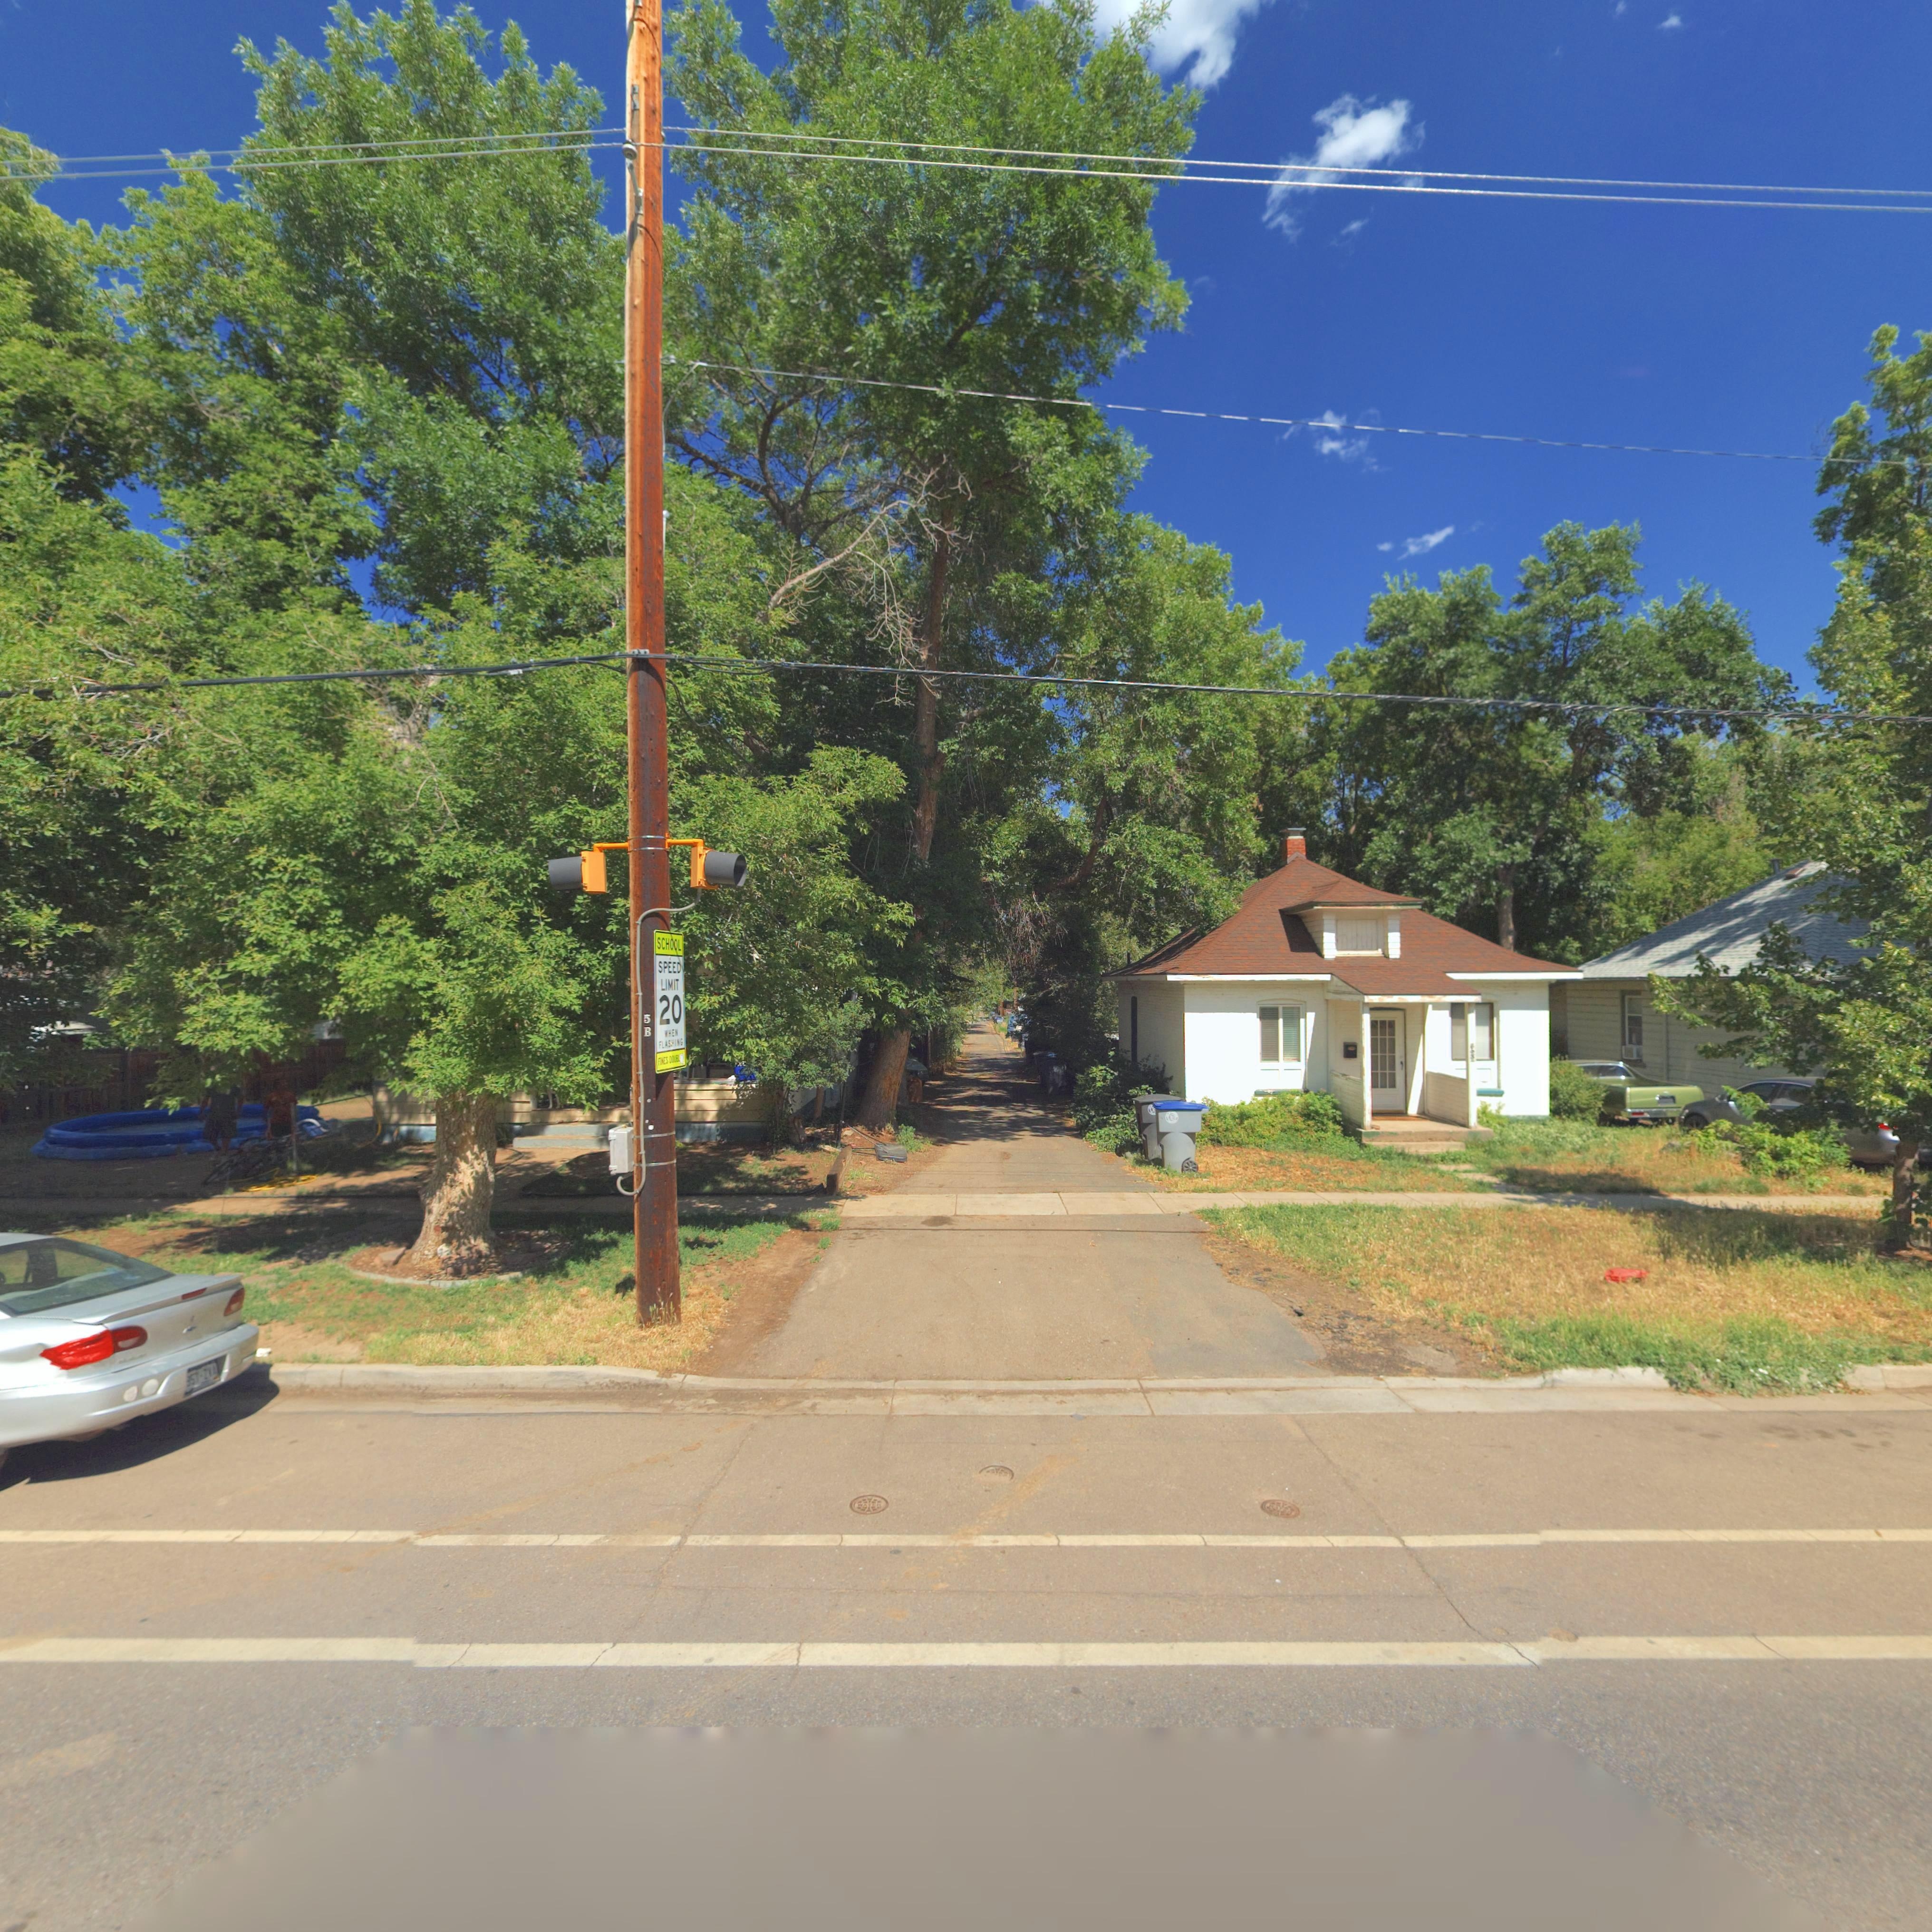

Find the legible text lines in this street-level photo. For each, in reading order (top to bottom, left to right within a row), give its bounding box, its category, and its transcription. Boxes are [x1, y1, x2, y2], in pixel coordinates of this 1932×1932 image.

[1469, 1043, 1475, 1061] StreetNumber: 668